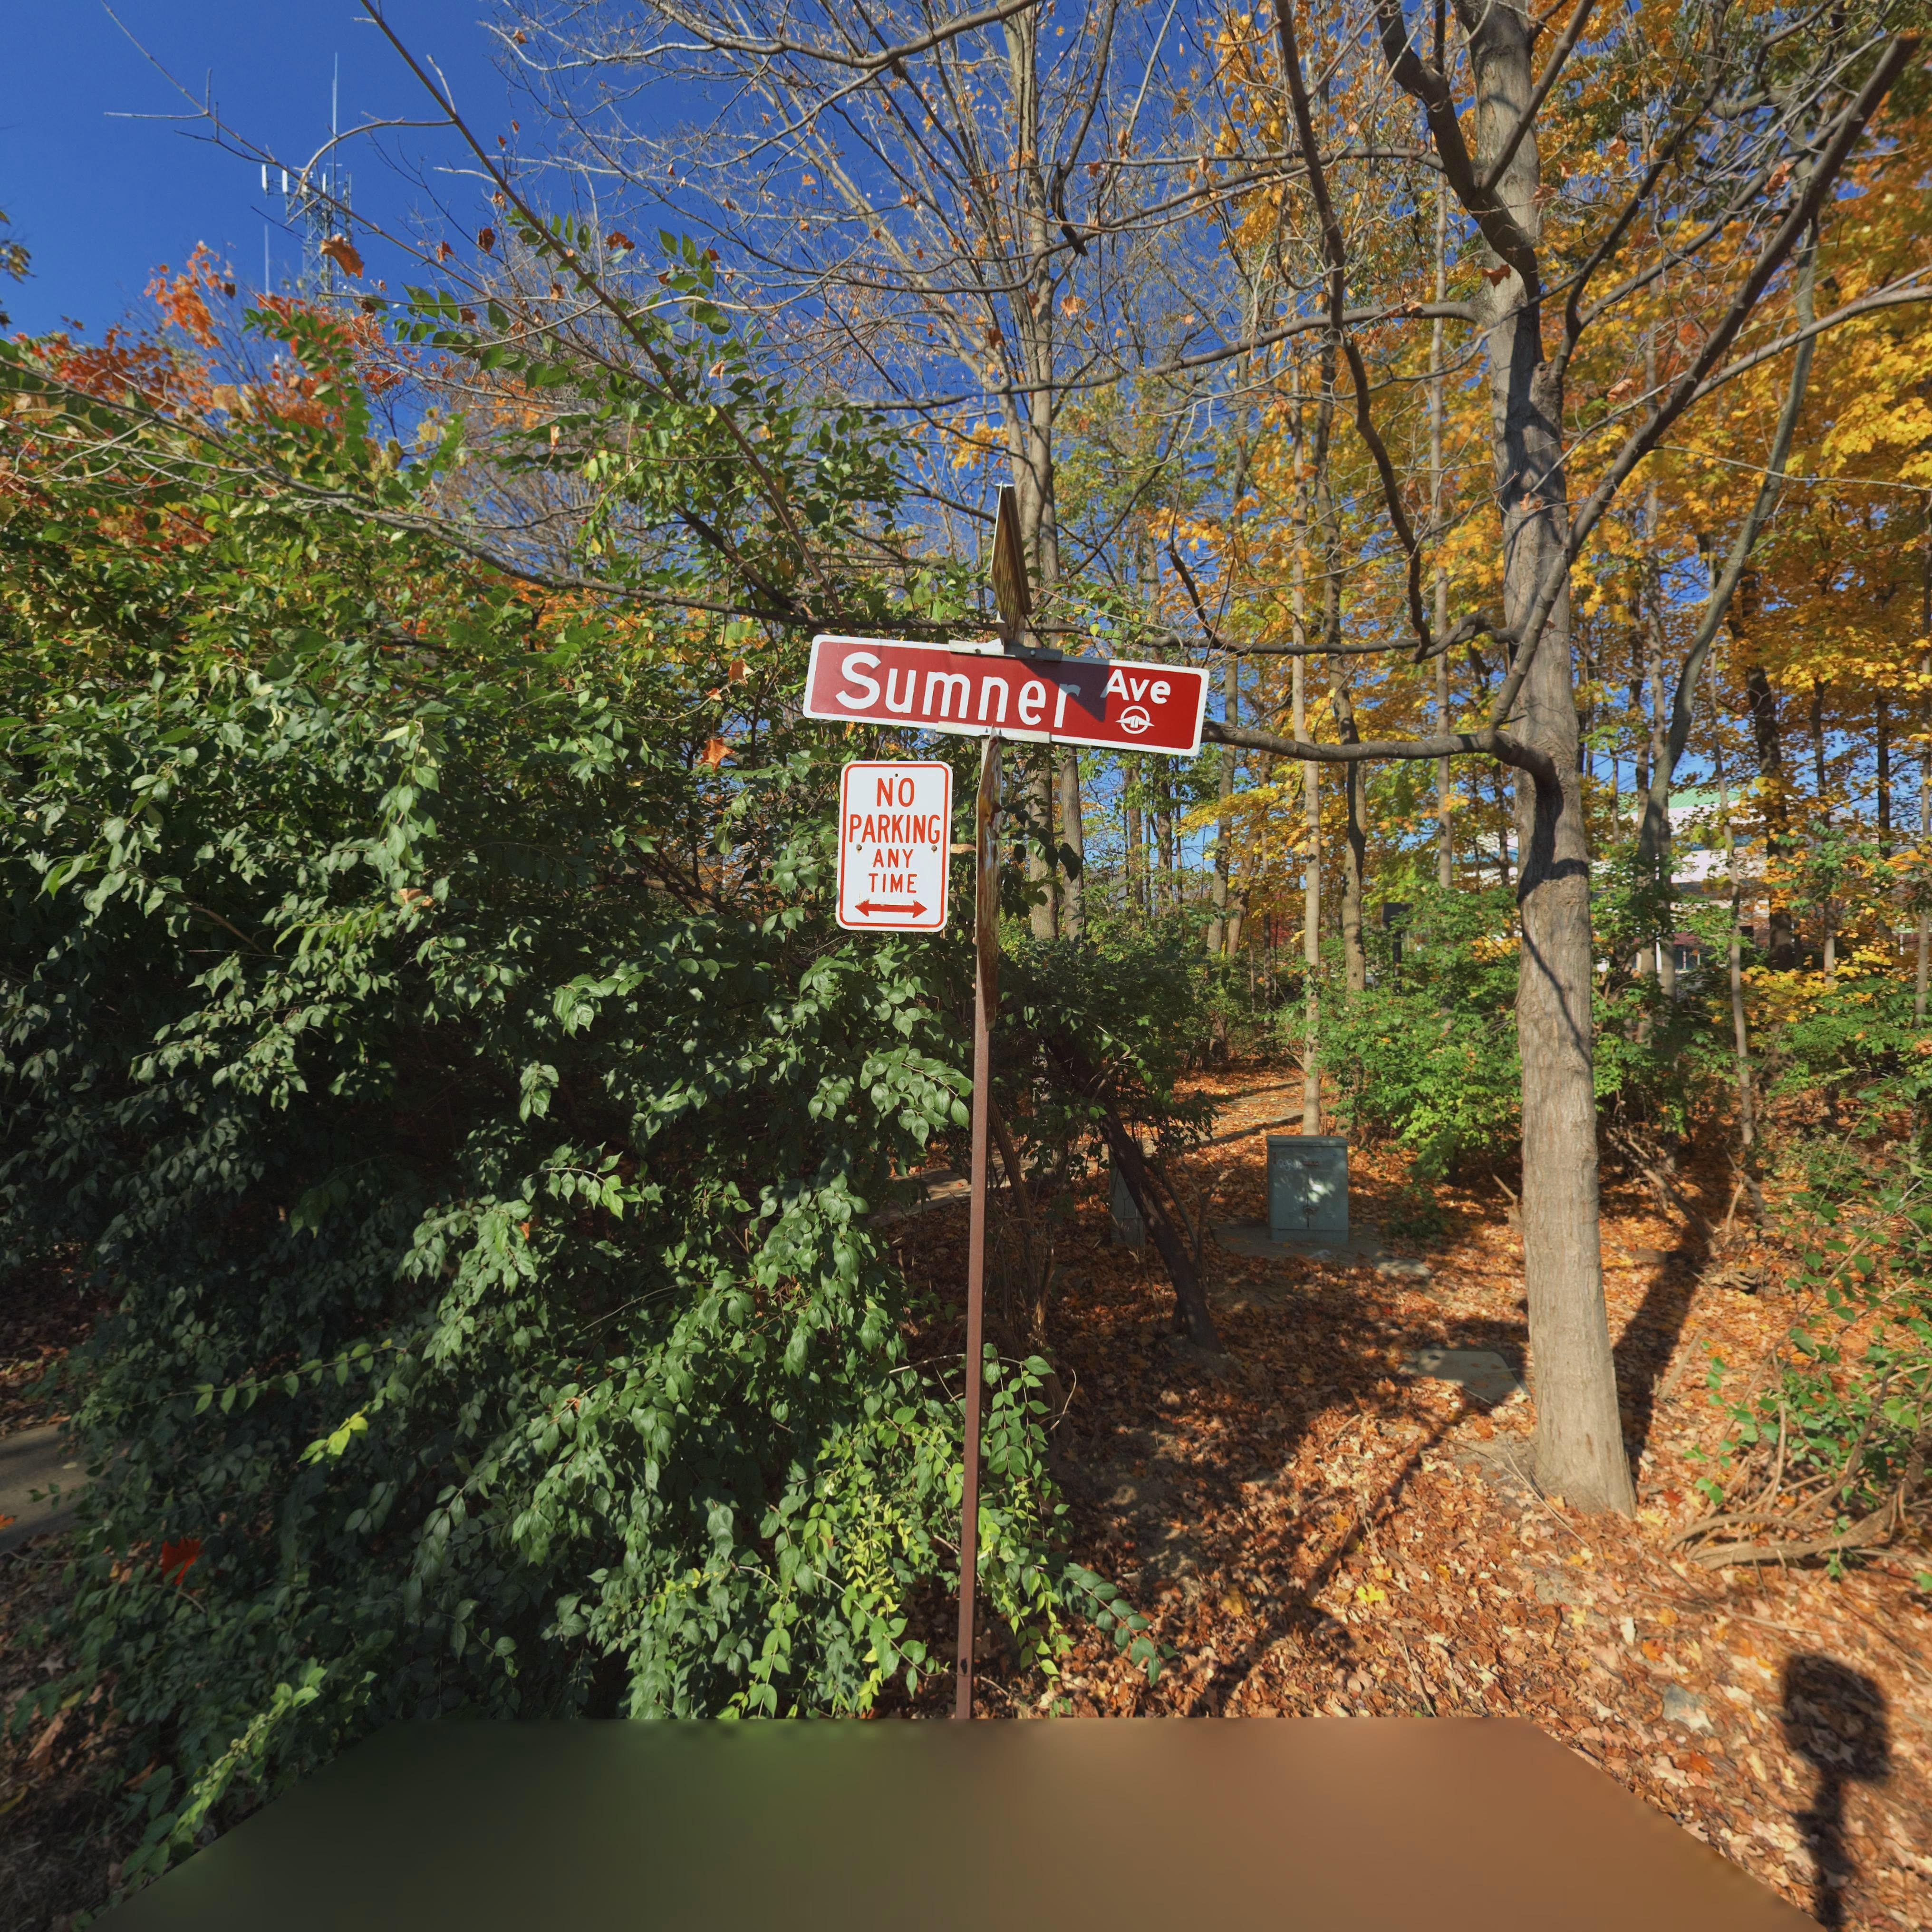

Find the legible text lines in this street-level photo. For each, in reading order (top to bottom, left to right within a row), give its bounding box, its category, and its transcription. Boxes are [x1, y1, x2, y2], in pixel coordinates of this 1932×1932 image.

[994, 512, 1016, 620] StreetName: Aeri
[834, 650, 1171, 729] StreetName: Summer Ave
[876, 777, 916, 807] None: NO
[848, 813, 941, 844] None: PARKING
[872, 848, 915, 869] None: ANY
[867, 872, 918, 894] None: TIME
[1275, 1158, 1298, 1172] None: PeR